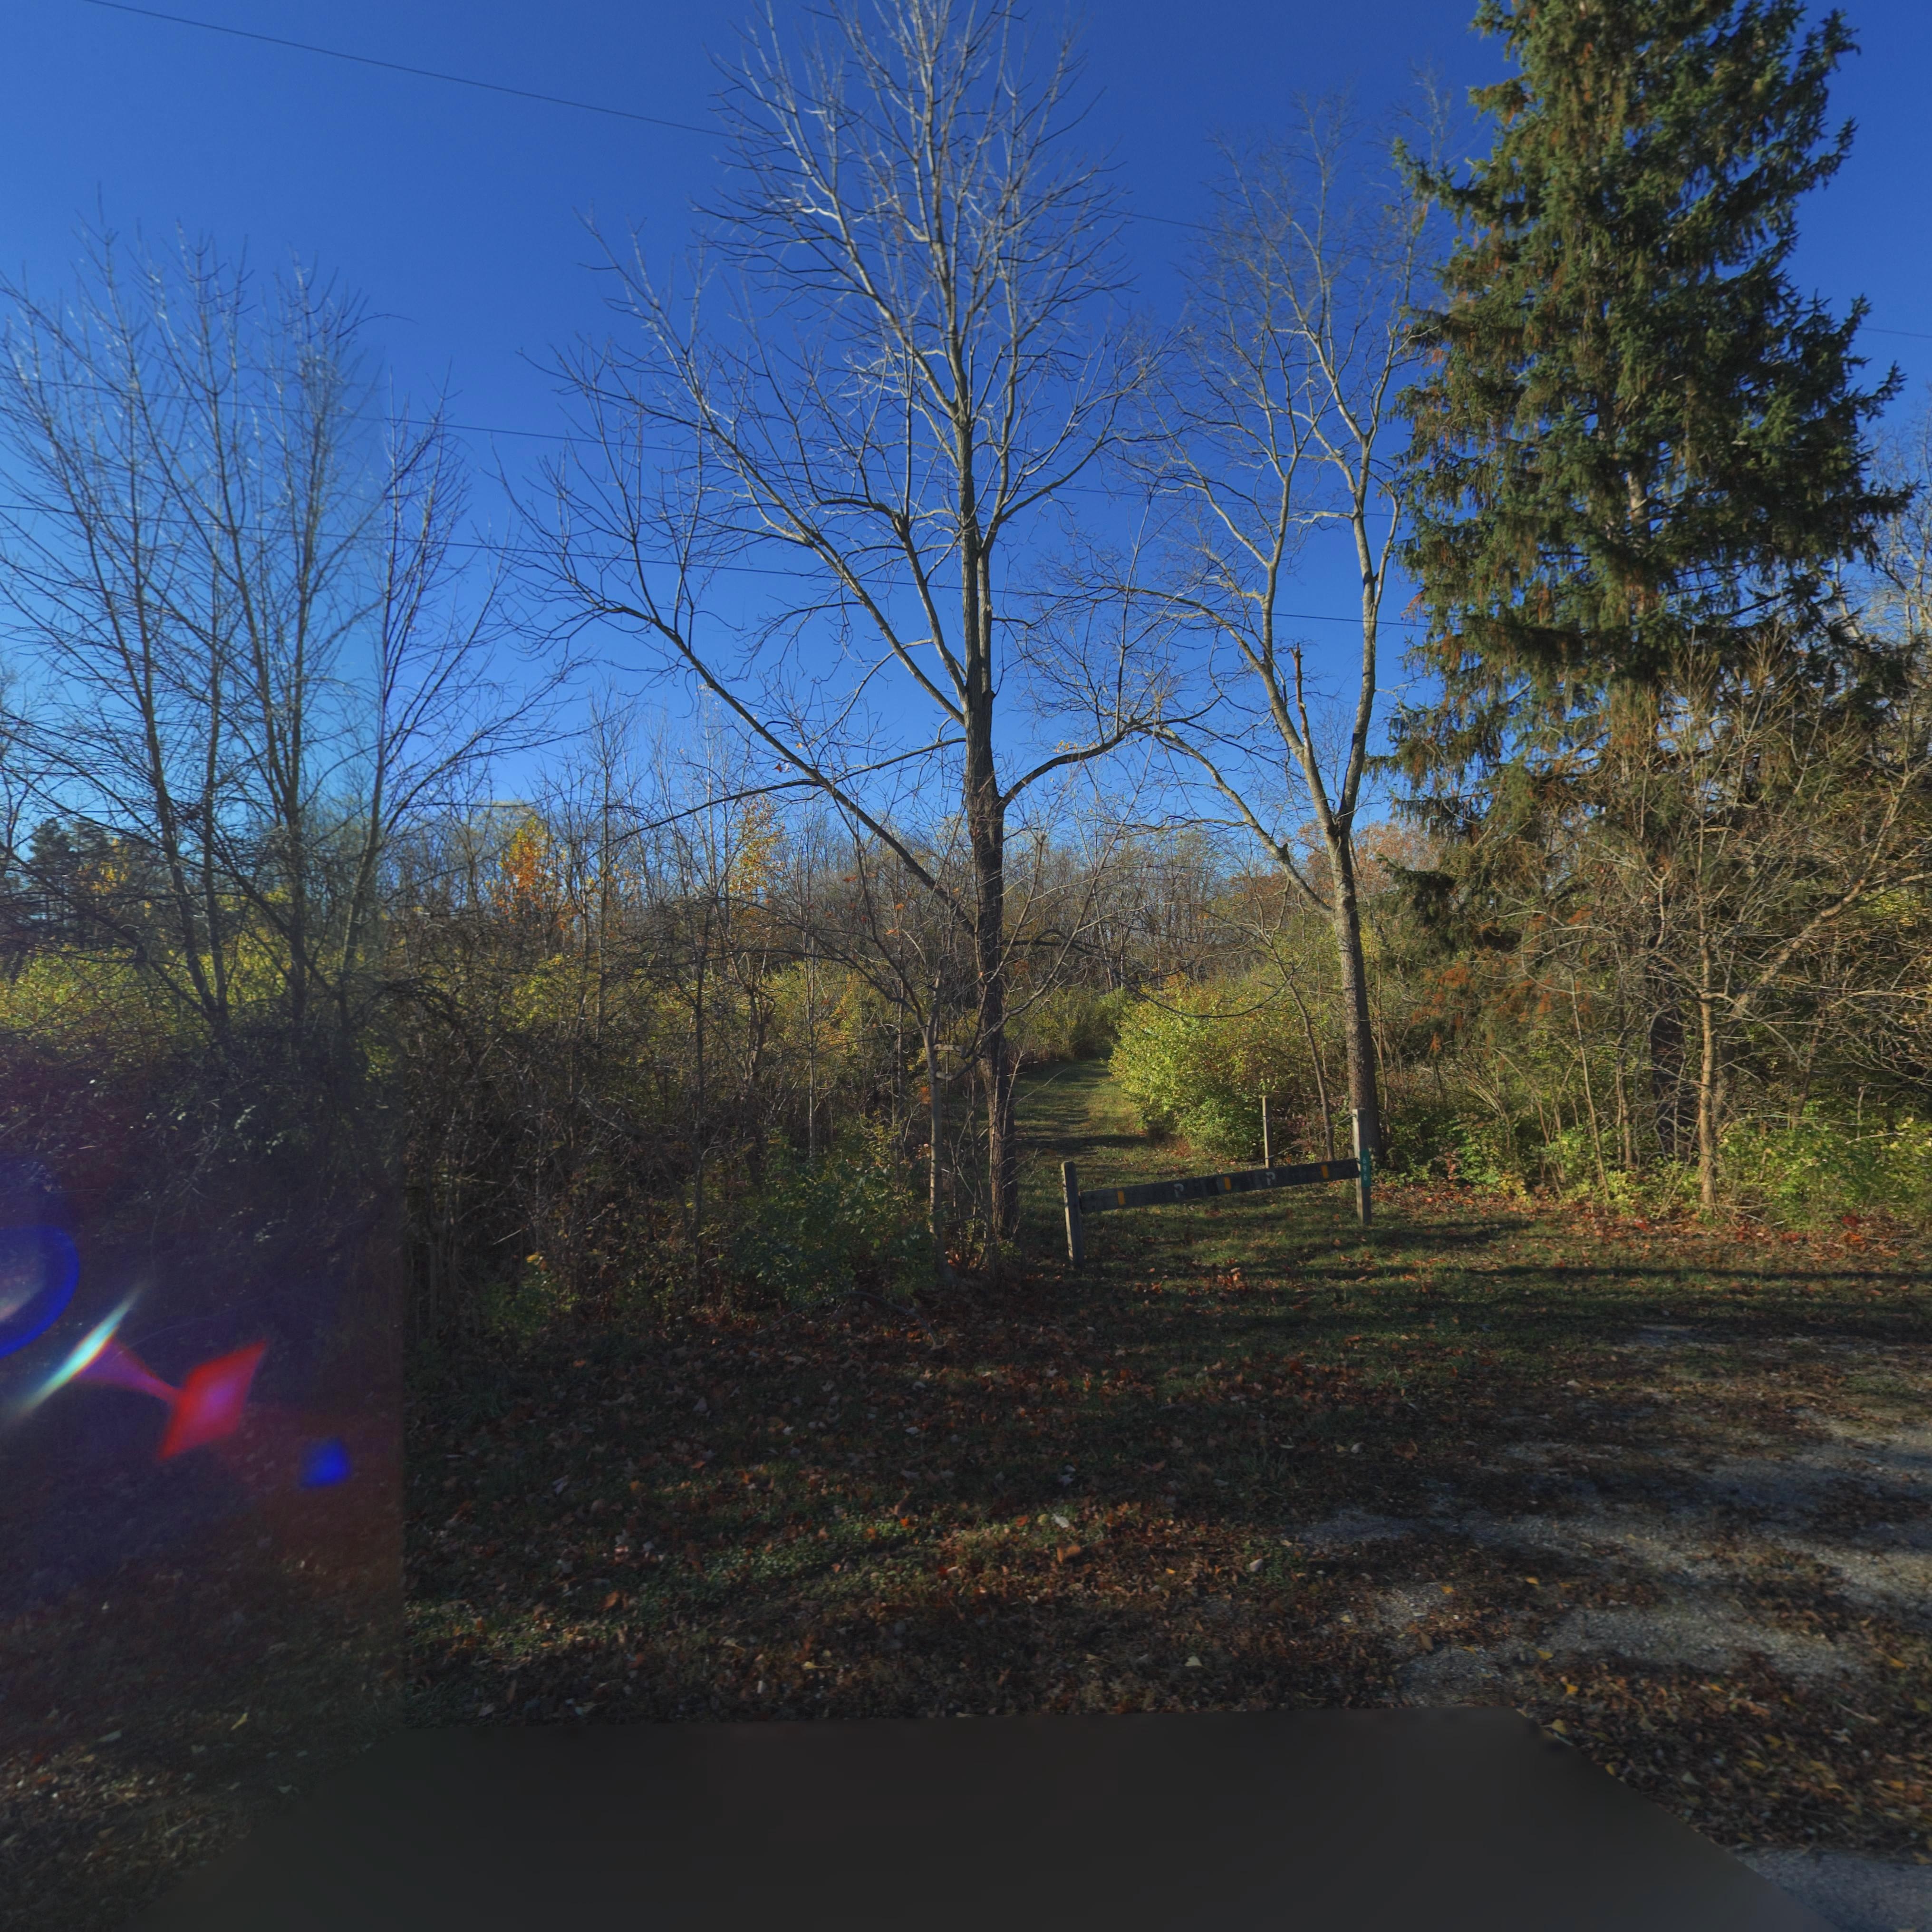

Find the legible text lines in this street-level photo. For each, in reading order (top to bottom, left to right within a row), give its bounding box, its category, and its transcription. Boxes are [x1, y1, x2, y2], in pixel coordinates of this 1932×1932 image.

[1362, 1156, 1369, 1182] StreetNumber: 696